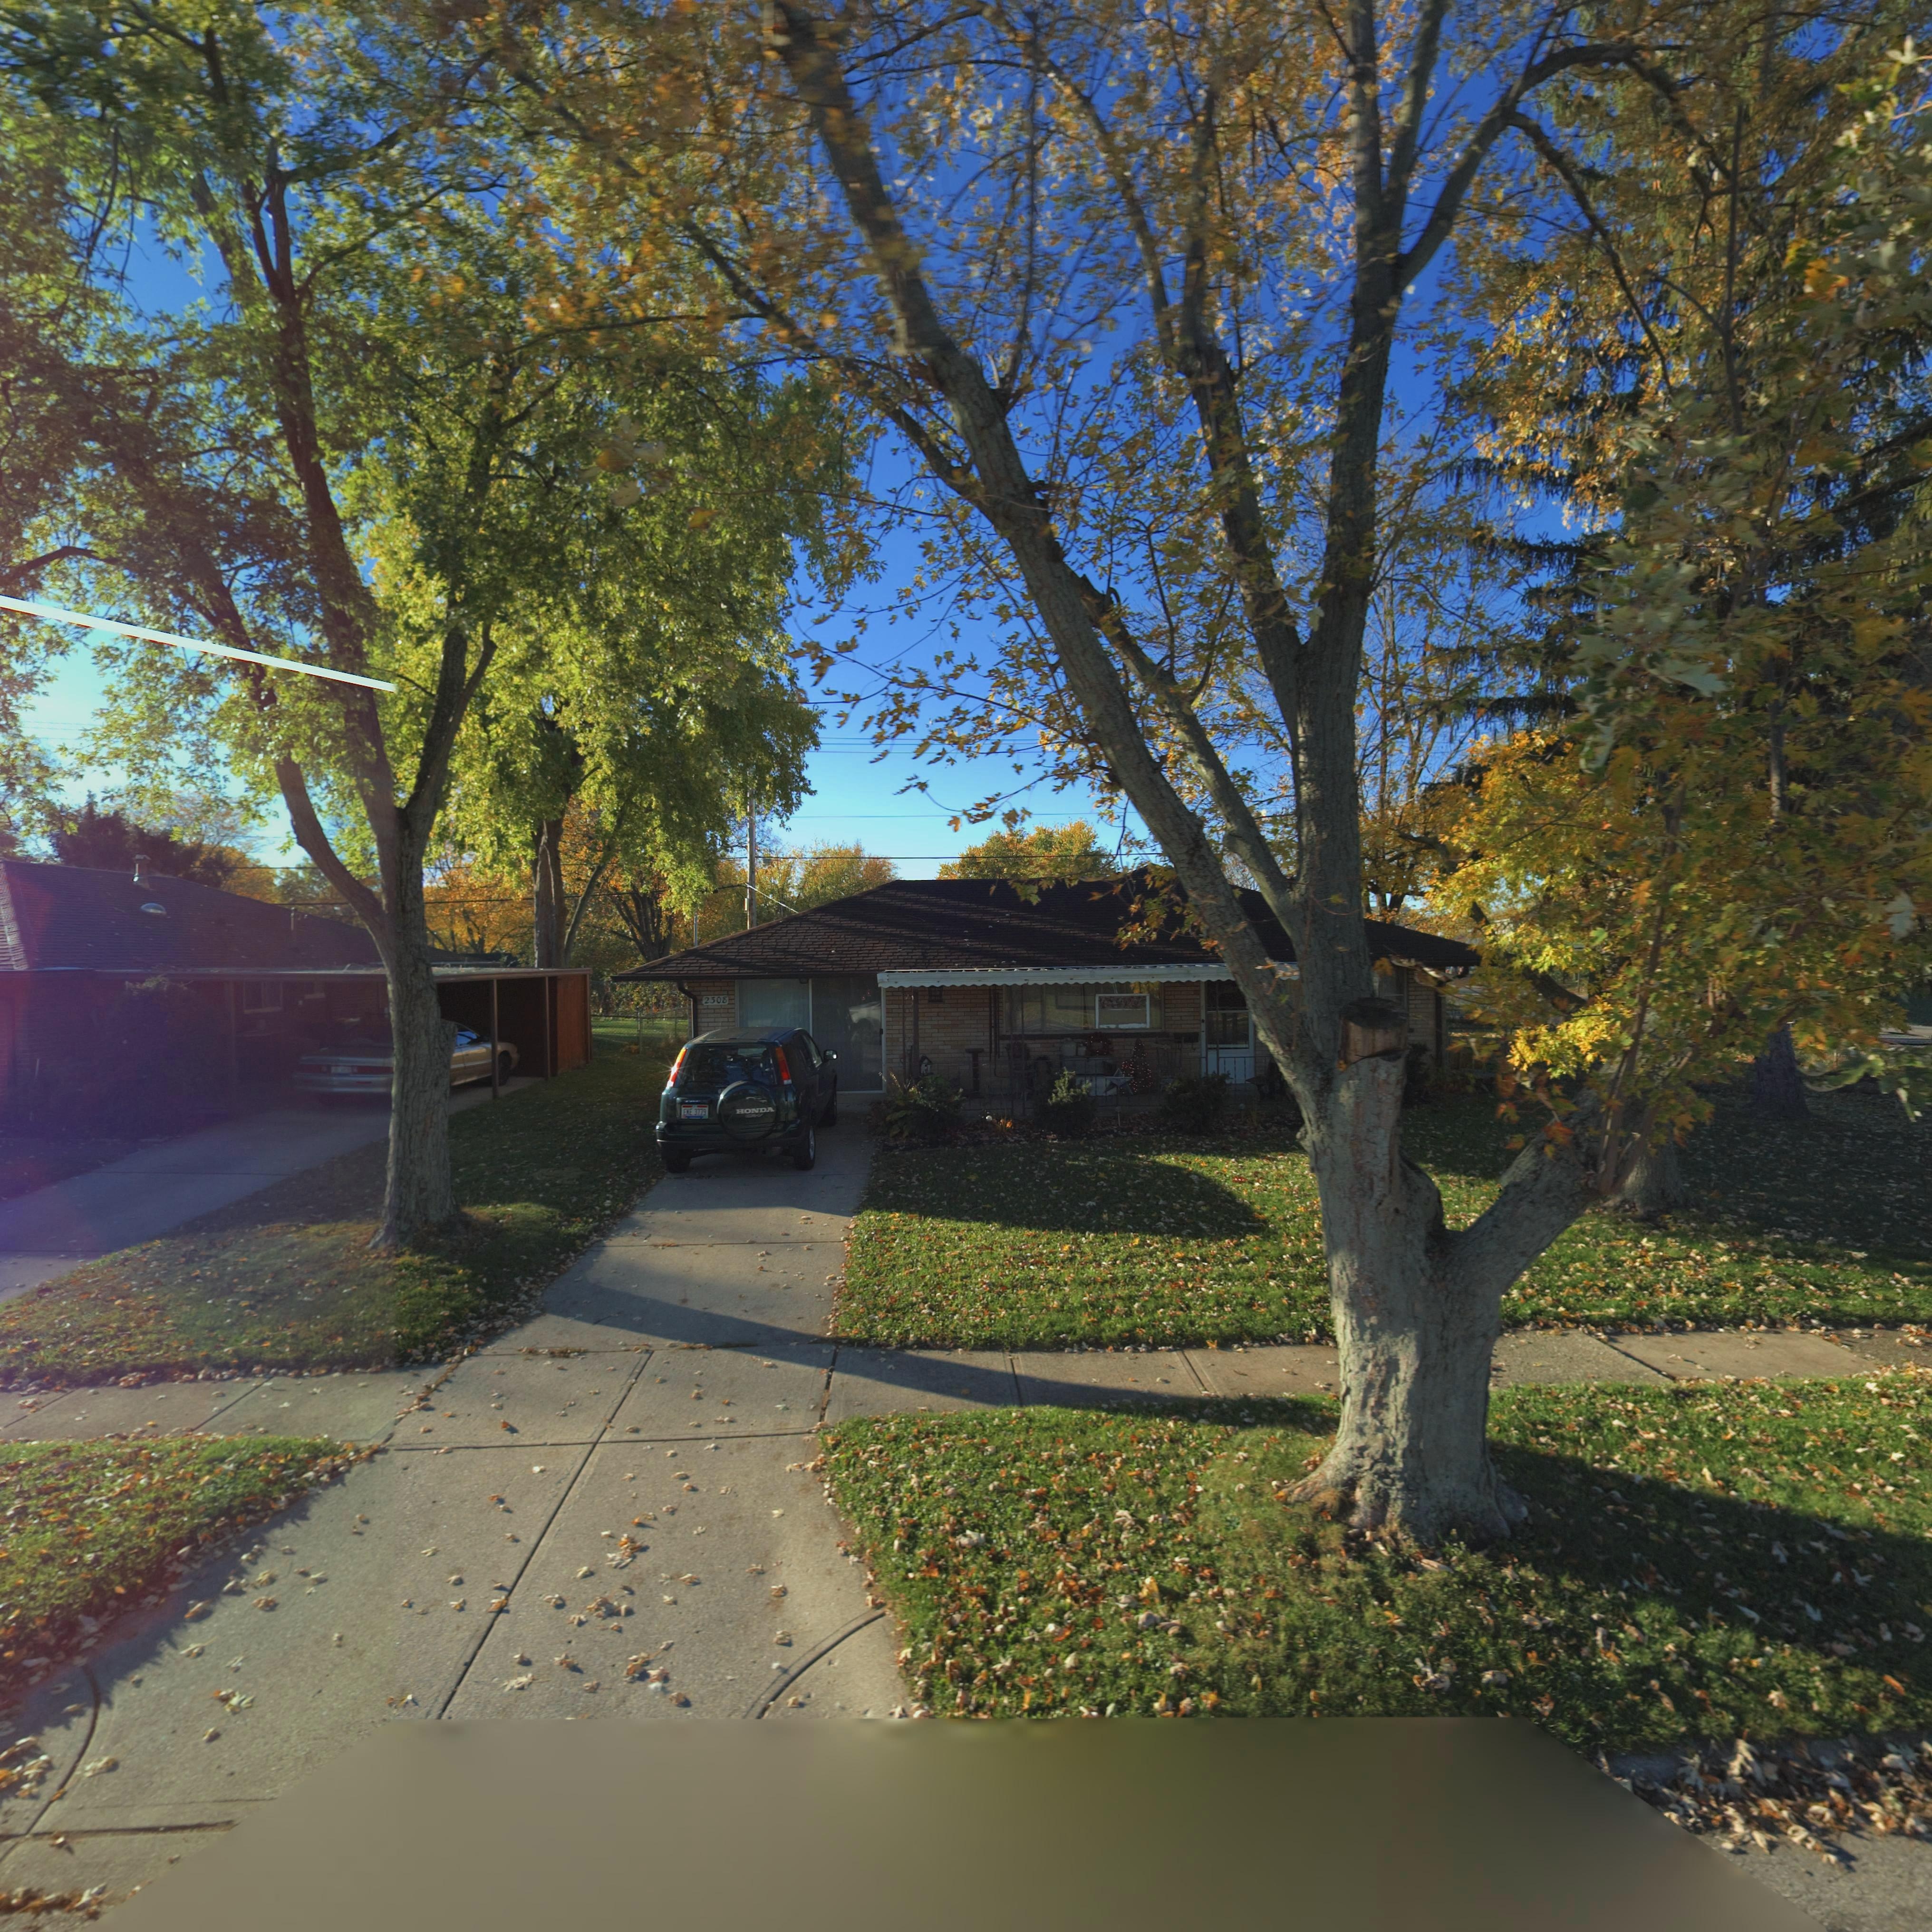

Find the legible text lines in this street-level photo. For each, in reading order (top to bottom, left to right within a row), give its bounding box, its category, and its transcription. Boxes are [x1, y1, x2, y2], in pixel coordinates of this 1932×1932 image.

[703, 995, 729, 1005] StreetNumber: 2308